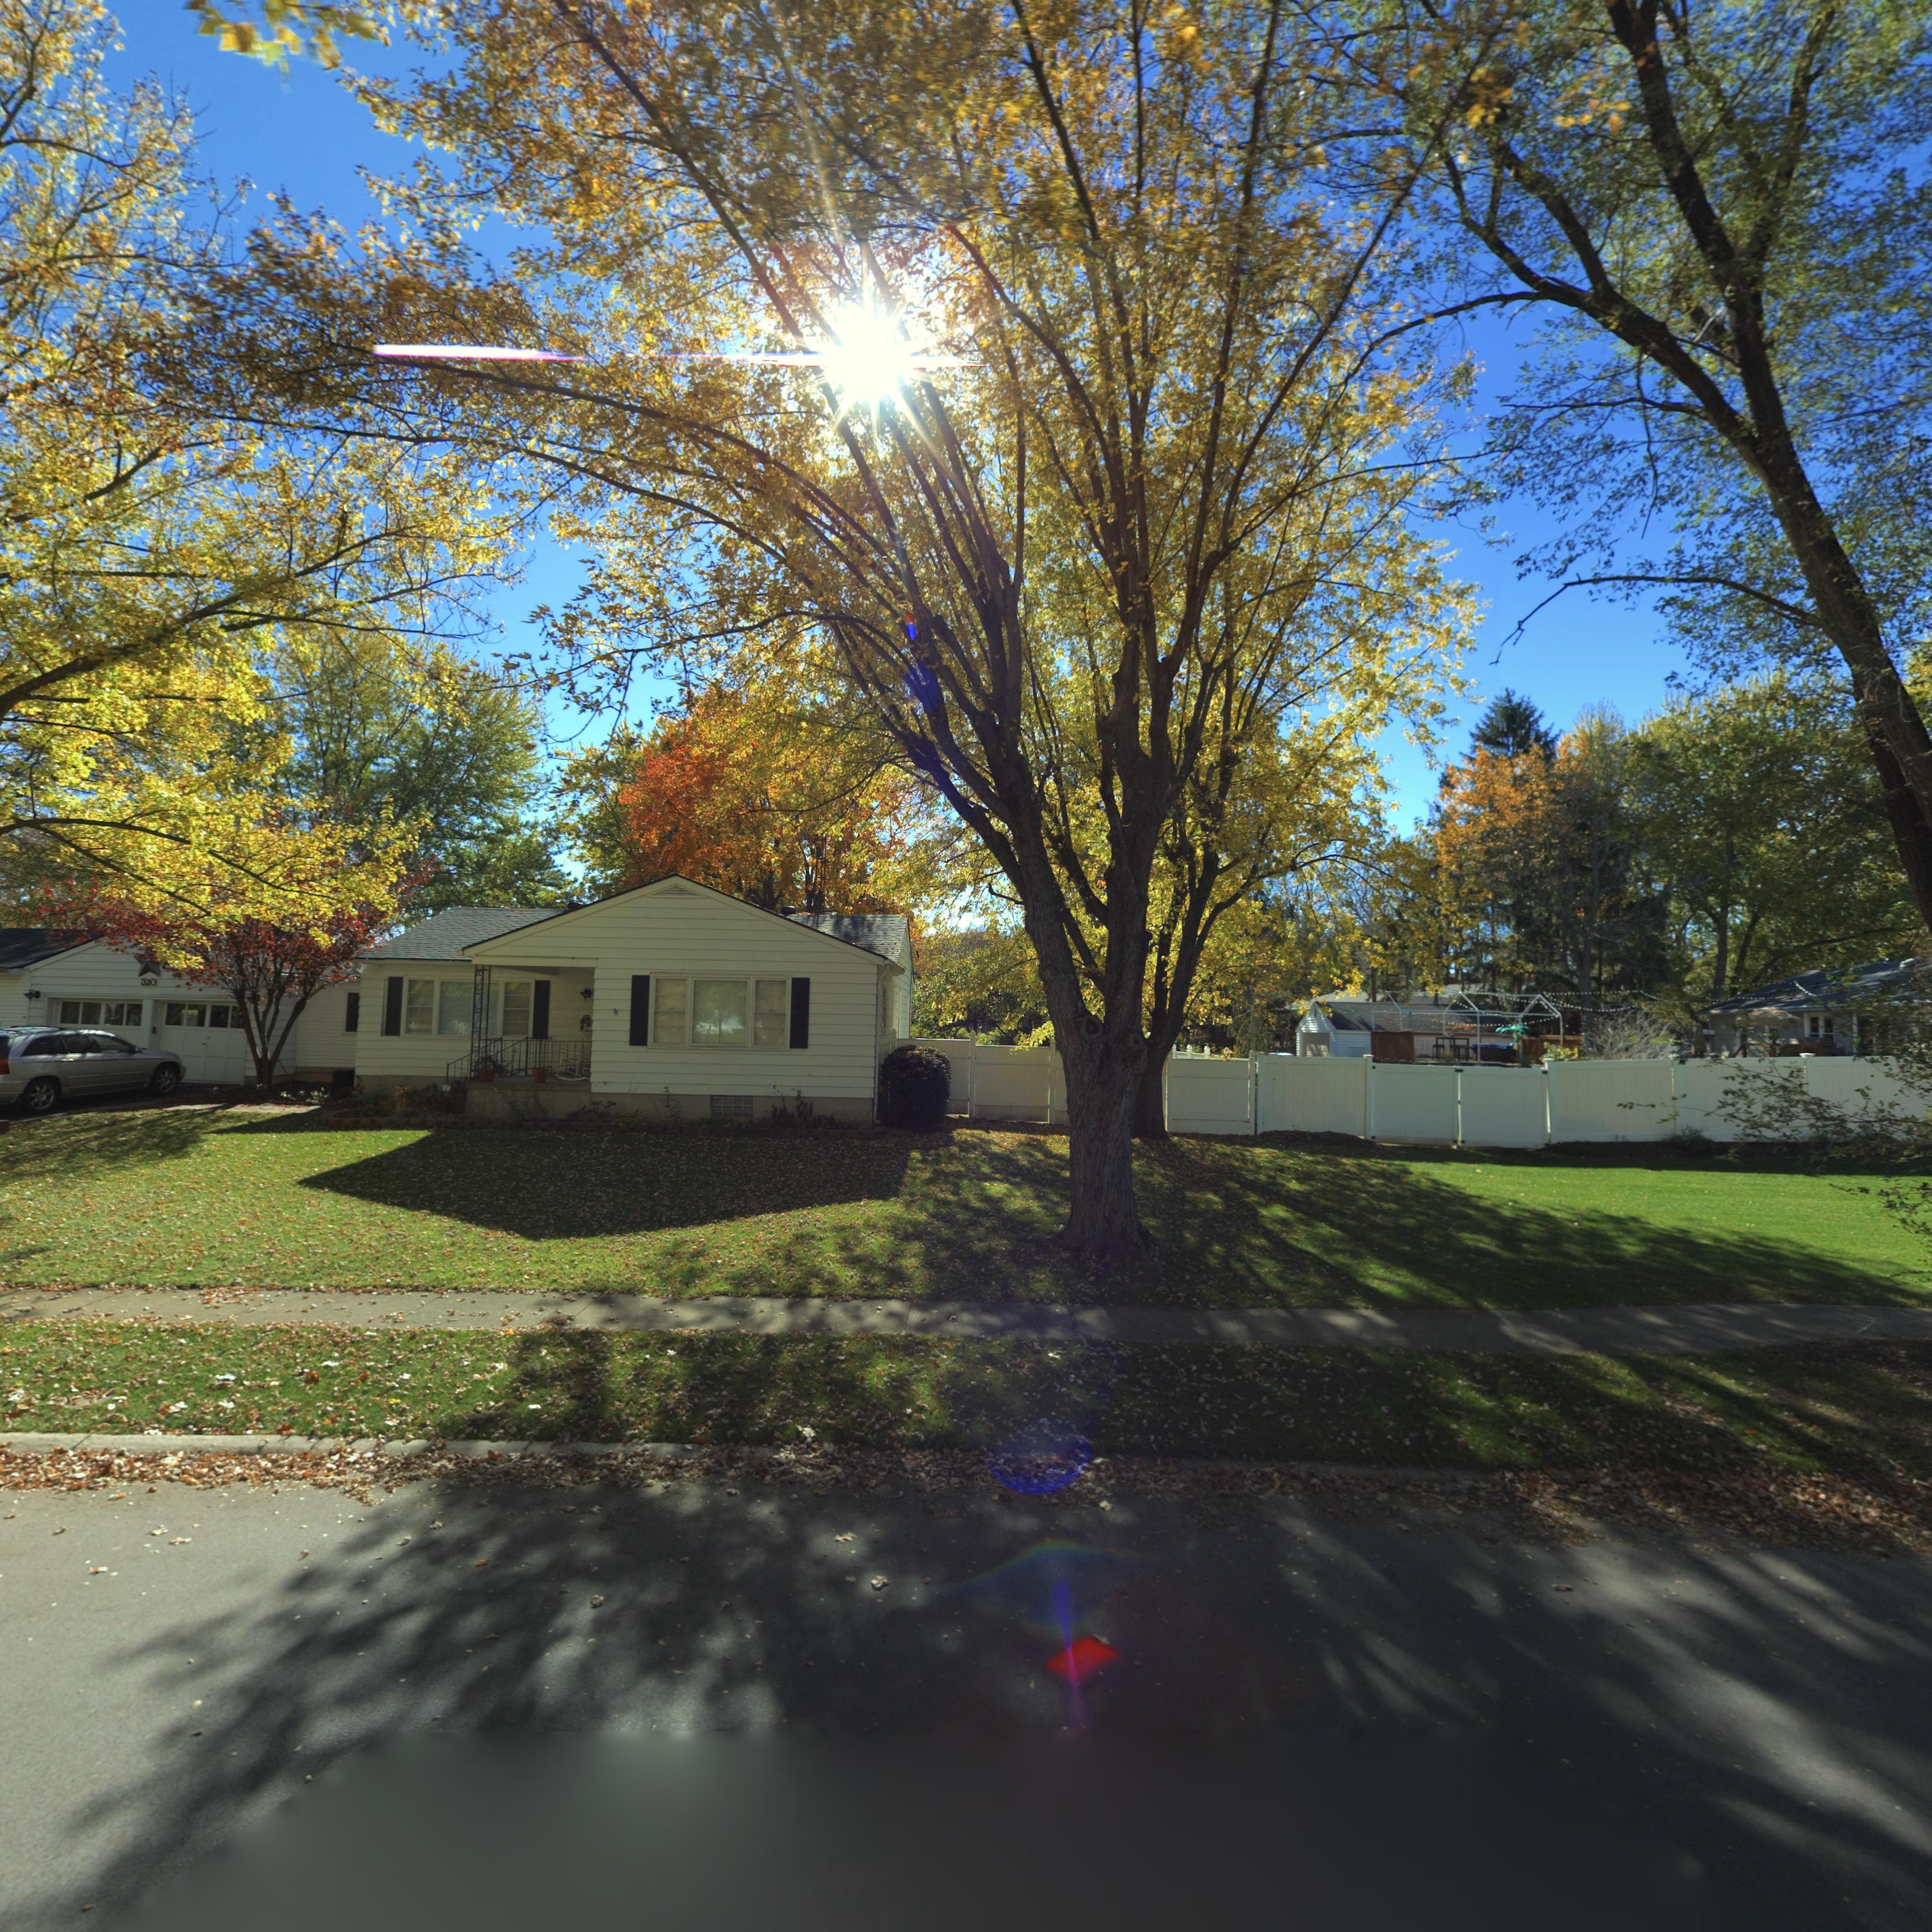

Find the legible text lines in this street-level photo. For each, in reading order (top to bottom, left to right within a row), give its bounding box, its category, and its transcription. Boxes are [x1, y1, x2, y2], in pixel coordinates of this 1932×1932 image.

[139, 977, 158, 986] StreetNumber: 310